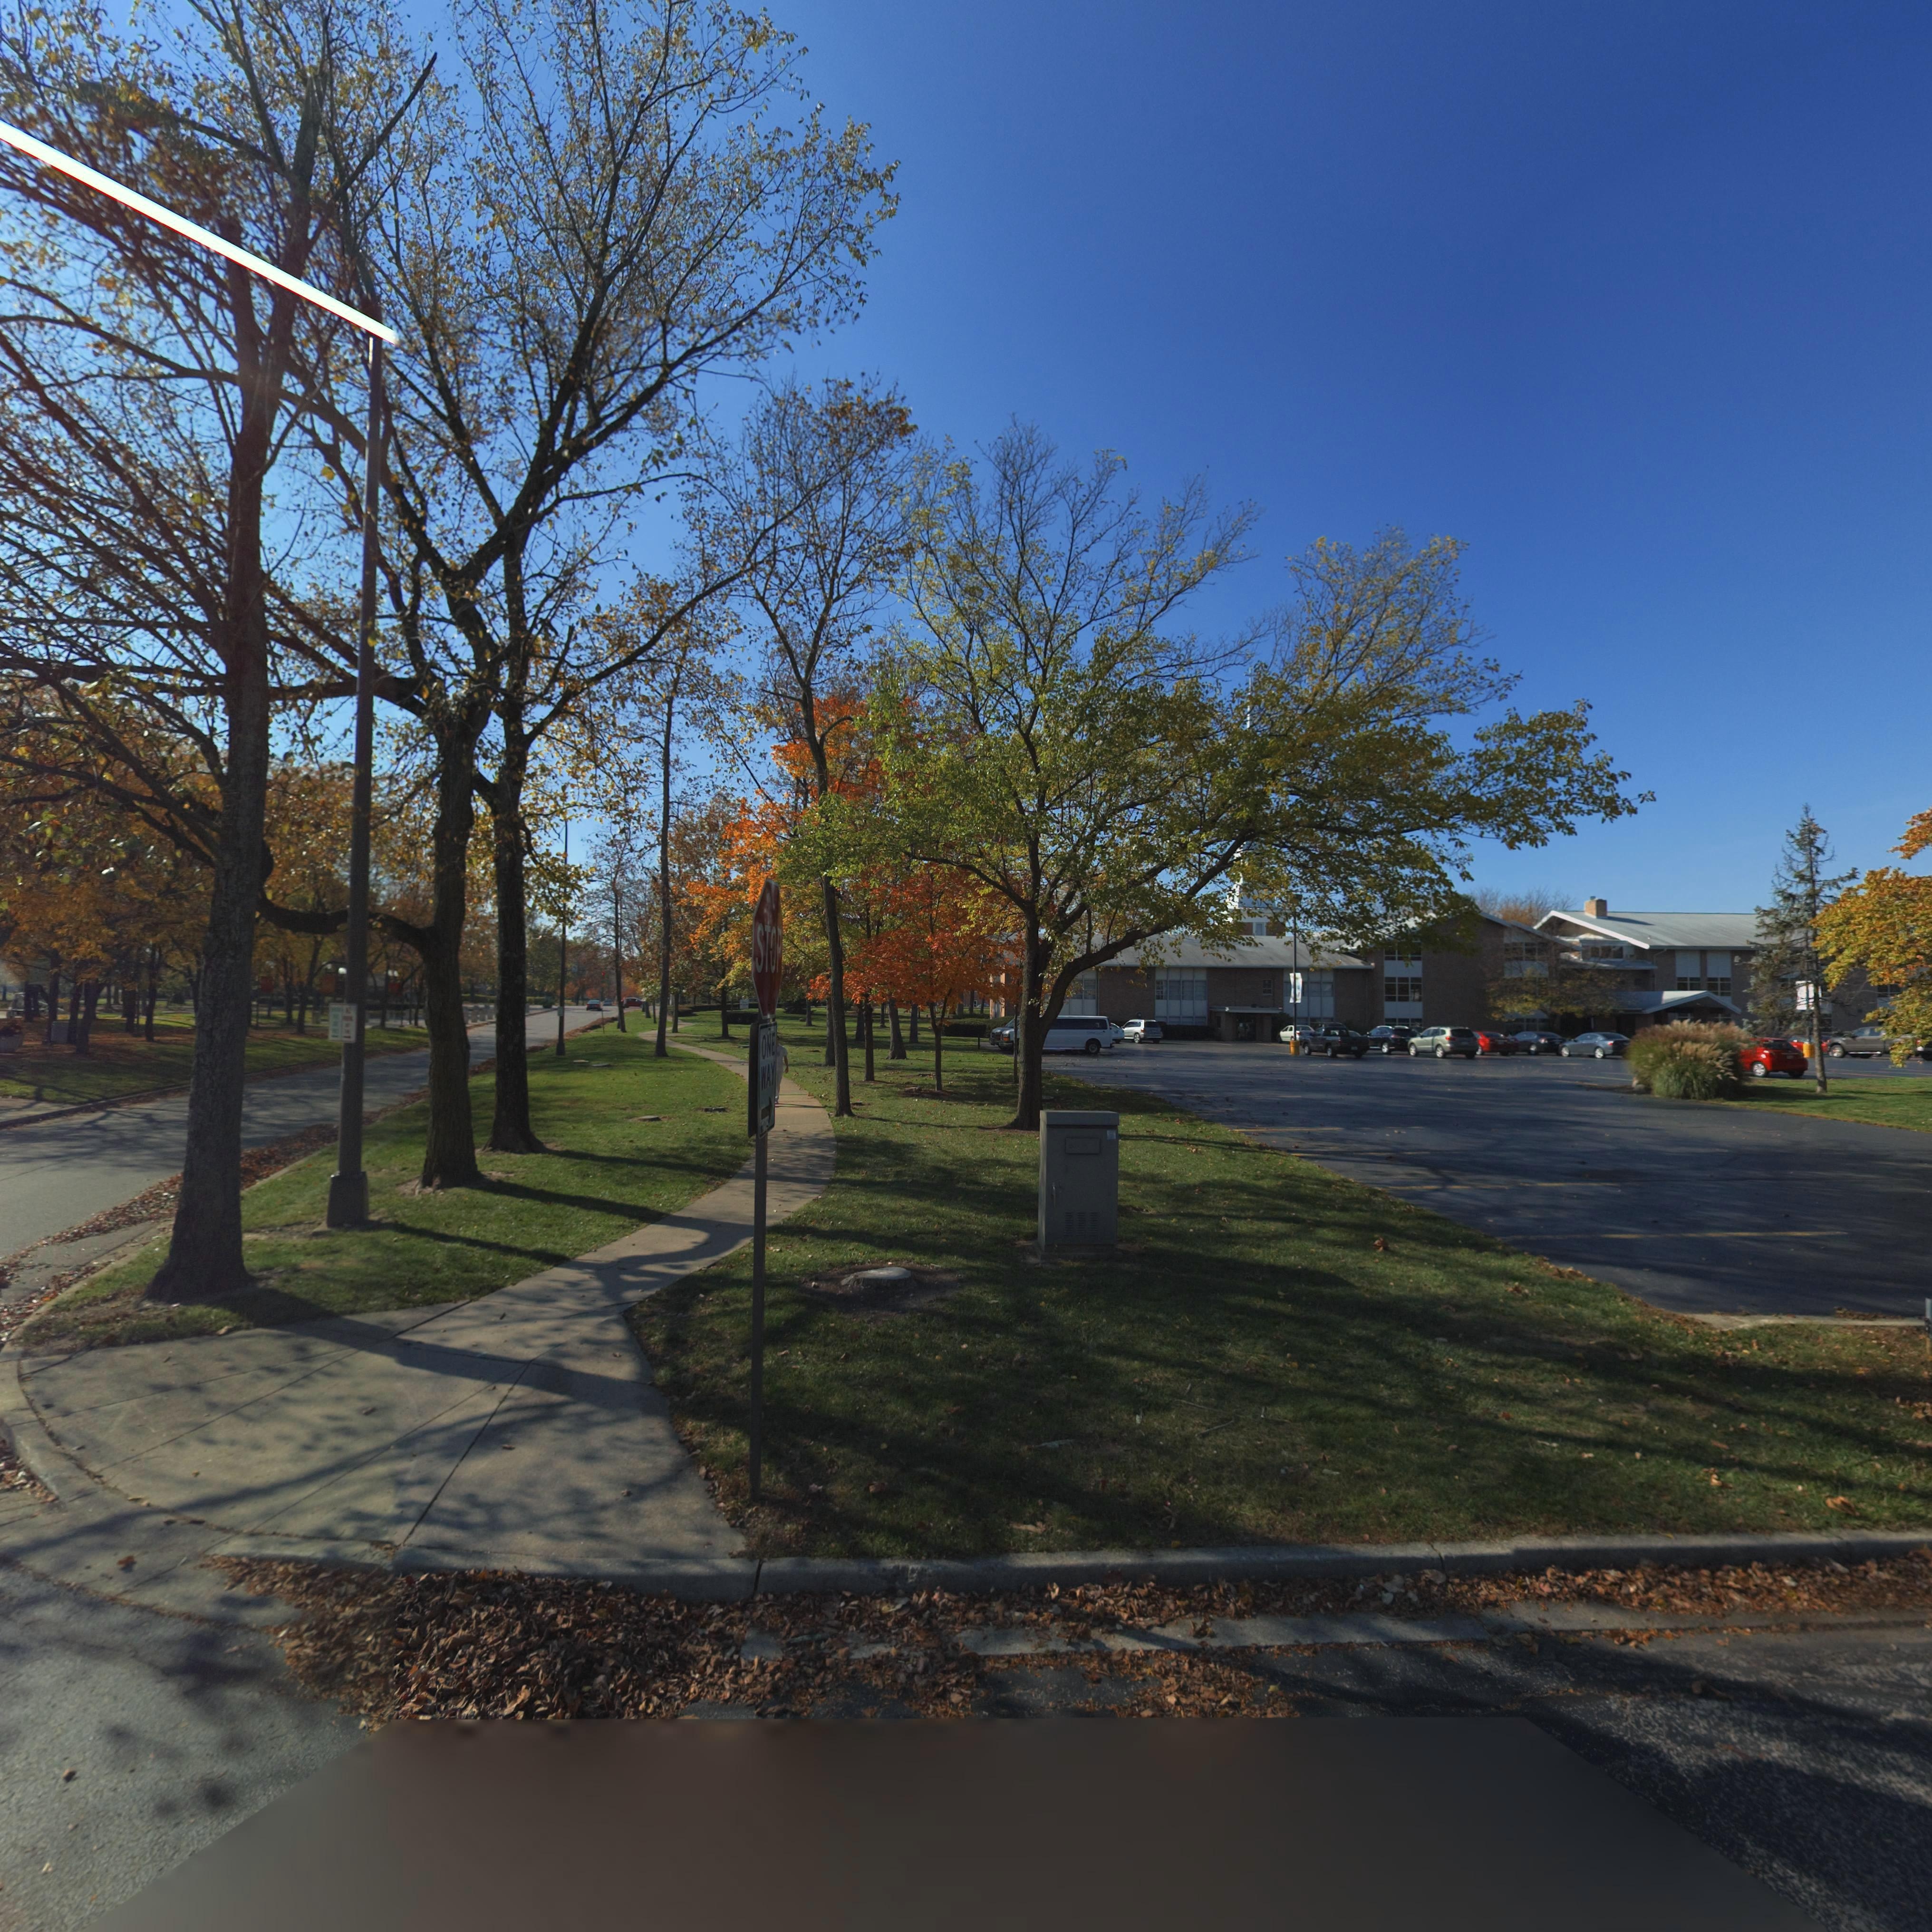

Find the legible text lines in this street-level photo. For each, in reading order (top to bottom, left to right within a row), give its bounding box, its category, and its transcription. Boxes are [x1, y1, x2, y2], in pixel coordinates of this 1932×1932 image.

[755, 921, 782, 973] None: STOP
[761, 1032, 775, 1061] None: ONE
[760, 1061, 775, 1092] None: WAY